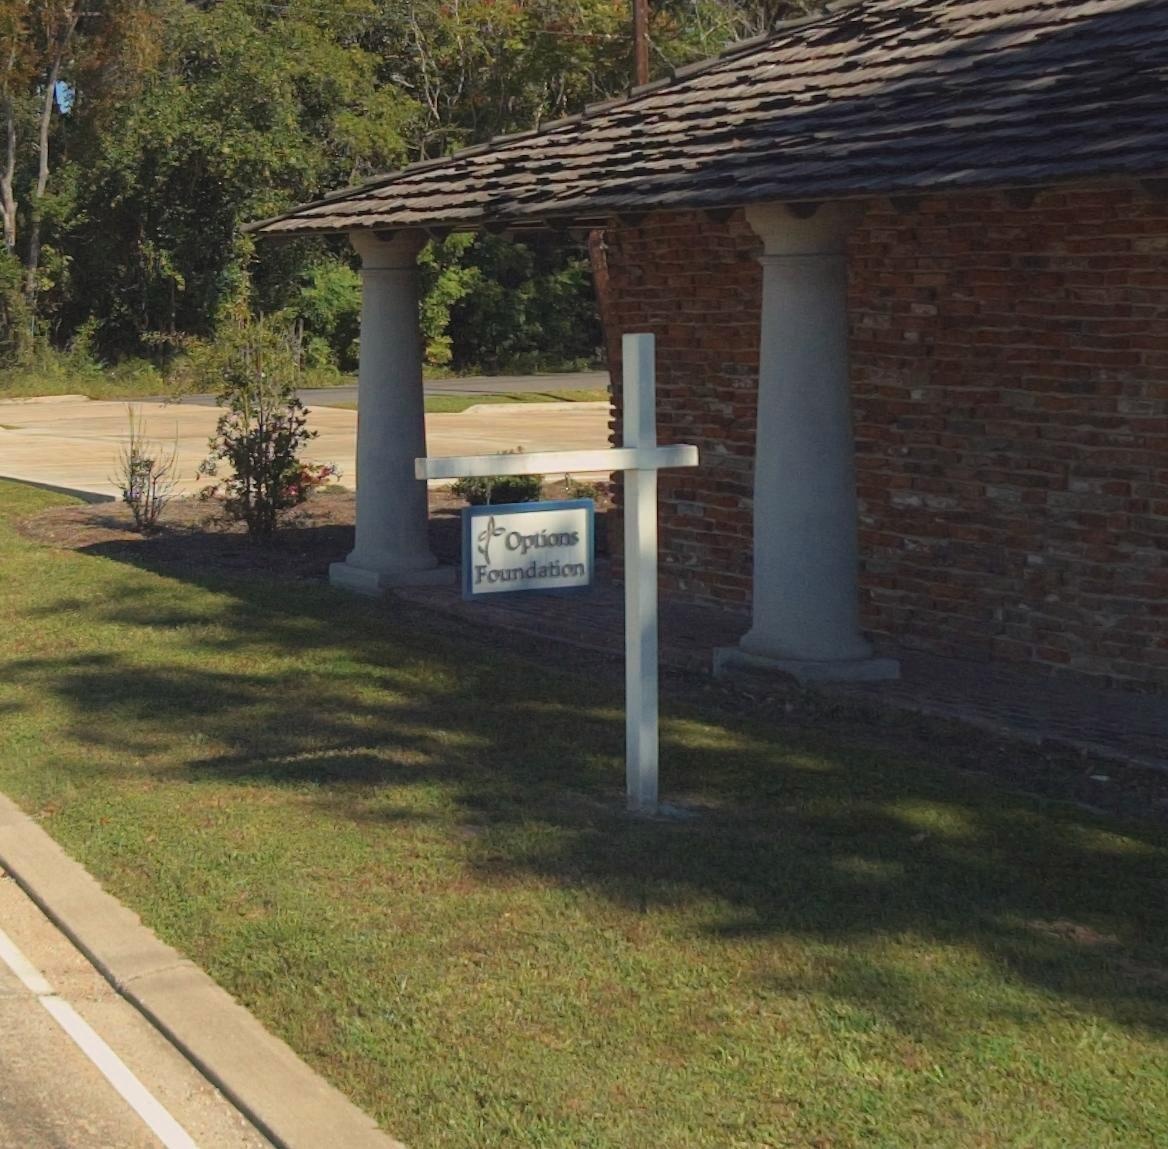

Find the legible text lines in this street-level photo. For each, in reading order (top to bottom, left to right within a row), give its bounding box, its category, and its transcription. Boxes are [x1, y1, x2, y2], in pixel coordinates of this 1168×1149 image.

[504, 528, 584, 557] BusinessName: Options Foundation
[473, 559, 587, 586] BusinessName: Foundation